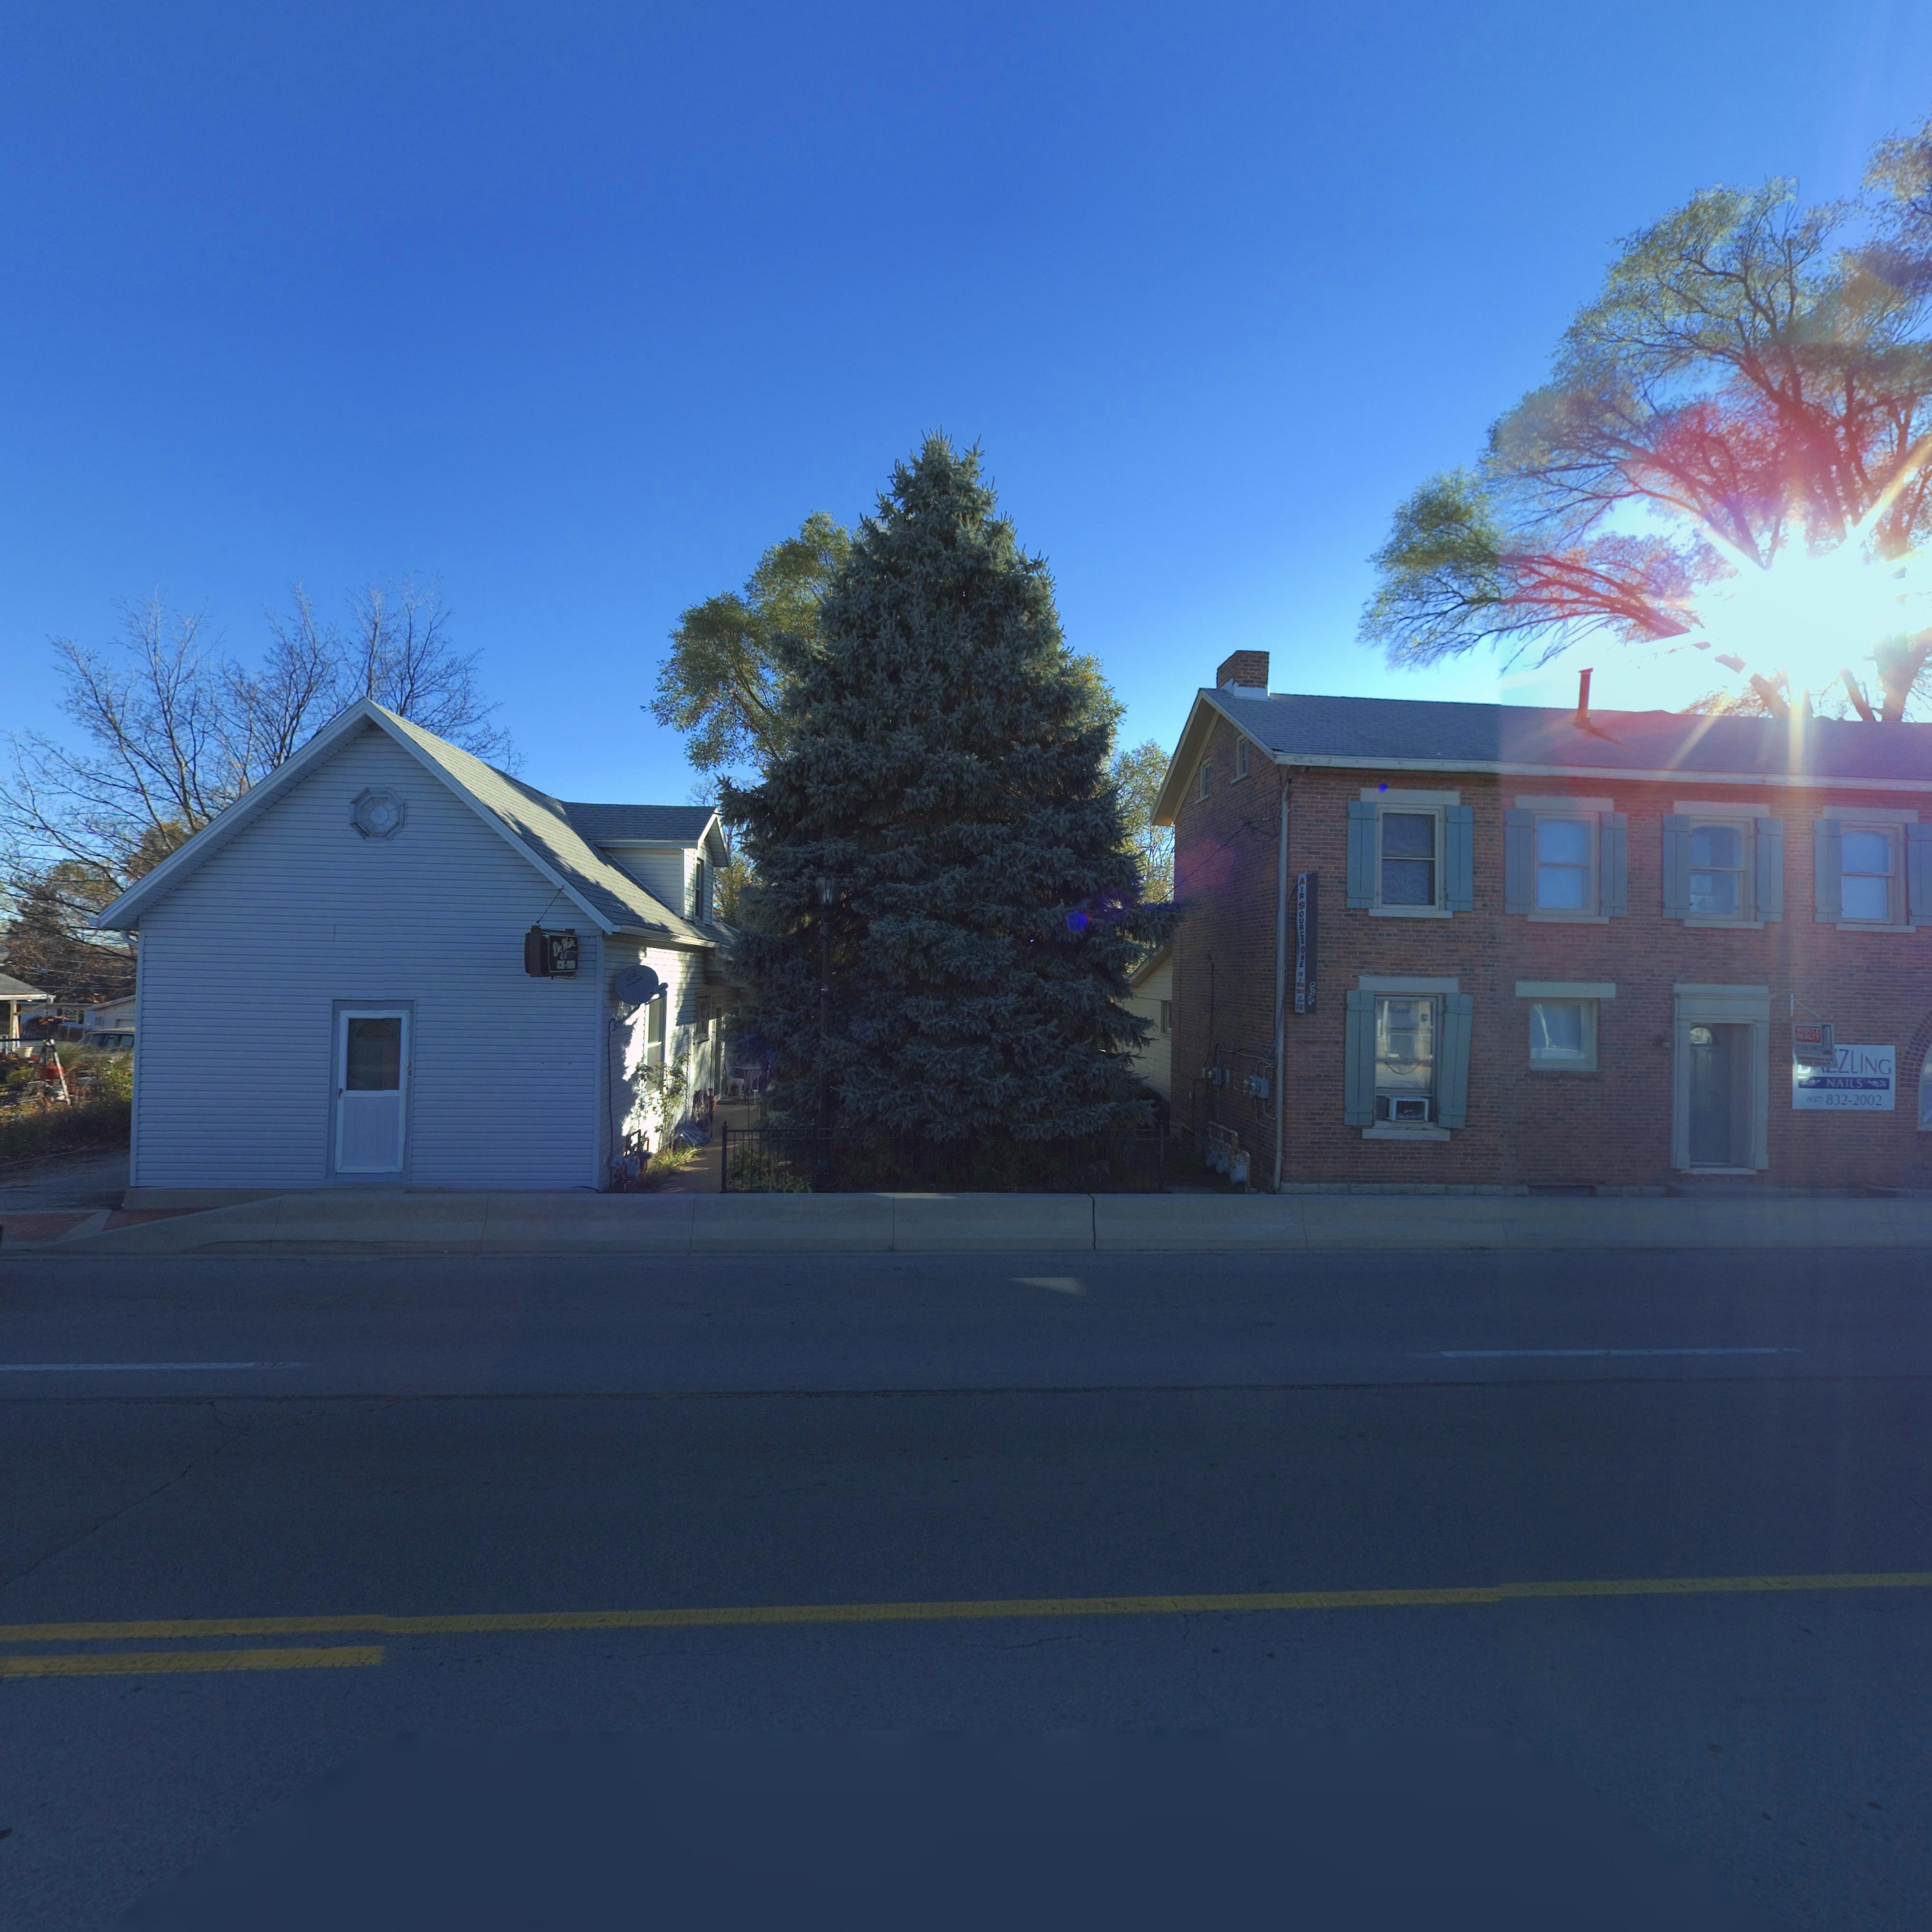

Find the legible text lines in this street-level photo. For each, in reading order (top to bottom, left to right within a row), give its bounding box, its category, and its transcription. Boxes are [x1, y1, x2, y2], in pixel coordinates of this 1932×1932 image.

[1296, 874, 1305, 968] None: AIRSOURCEONE
[551, 936, 577, 959] None: De H*i*
[556, 960, 577, 970] None: 836-****
[1835, 1043, 1894, 1078] None: ZLING
[407, 1061, 412, 1077] StreetNumber: 24
[1824, 1076, 1864, 1089] None: NAILS
[1823, 1091, 1884, 1107] None: 832-2002